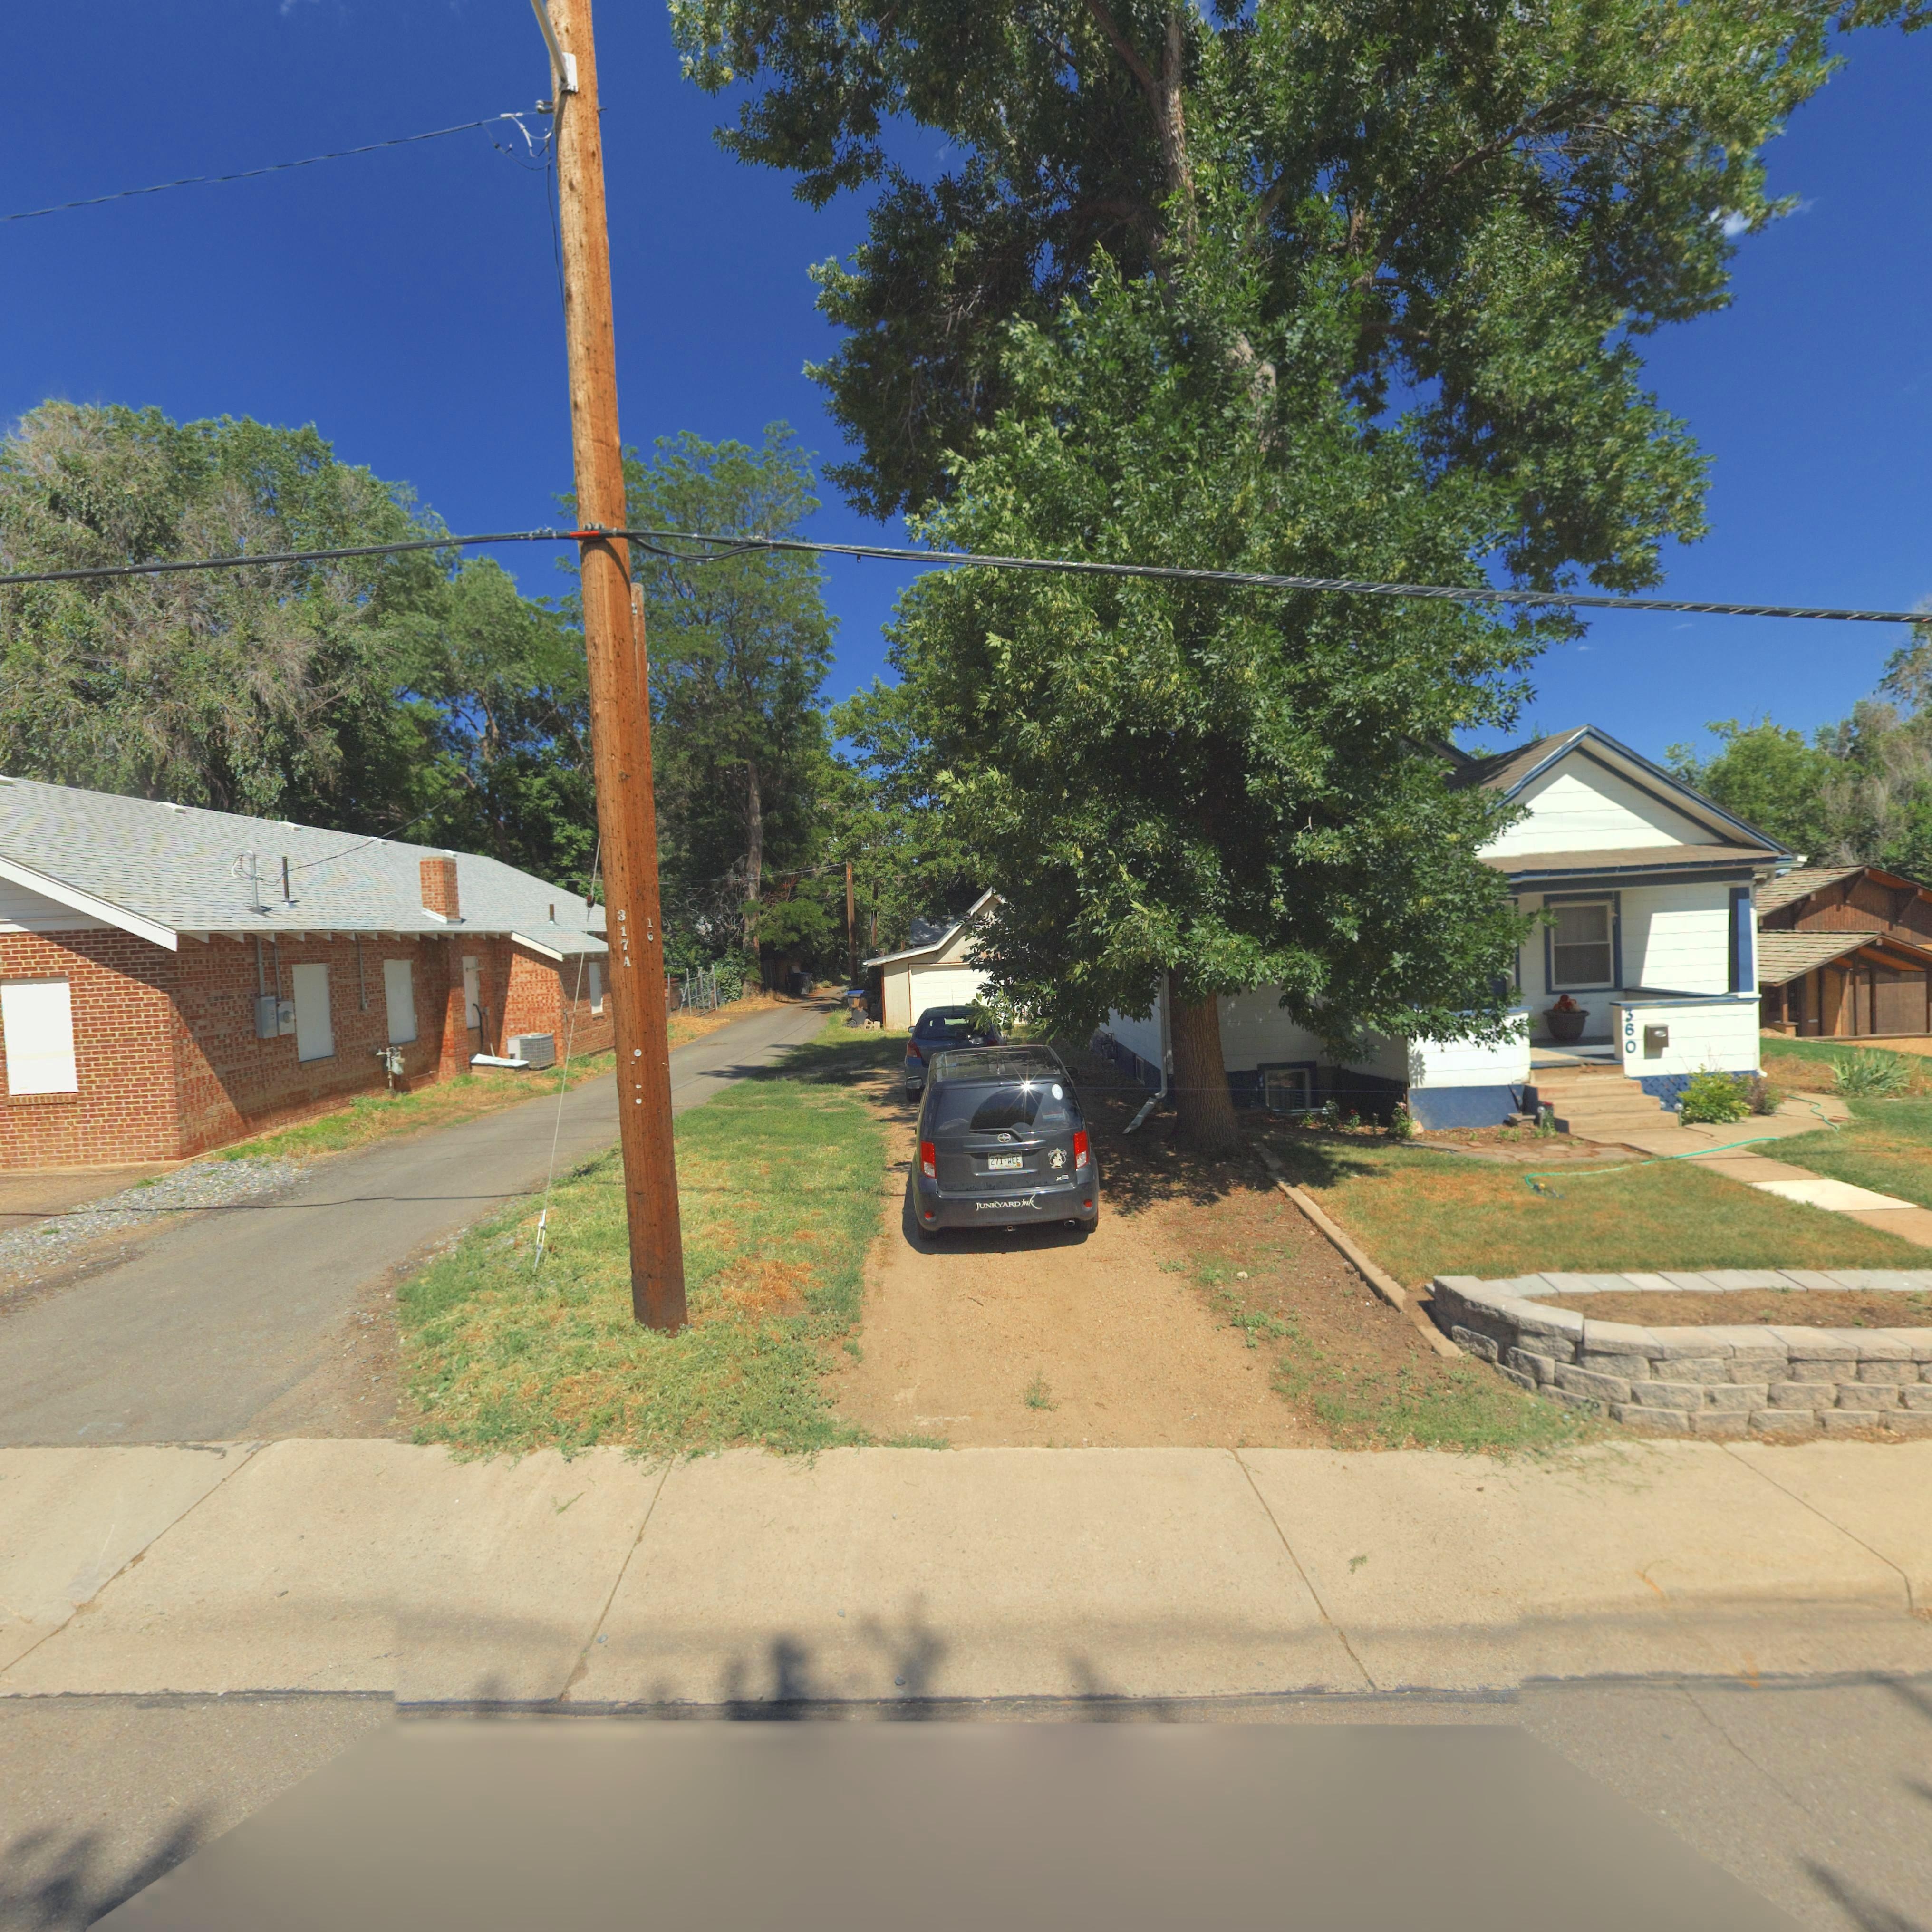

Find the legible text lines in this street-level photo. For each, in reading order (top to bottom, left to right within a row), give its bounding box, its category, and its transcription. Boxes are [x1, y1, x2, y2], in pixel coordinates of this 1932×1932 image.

[1624, 1006, 1636, 1054] StreetNumber: 360